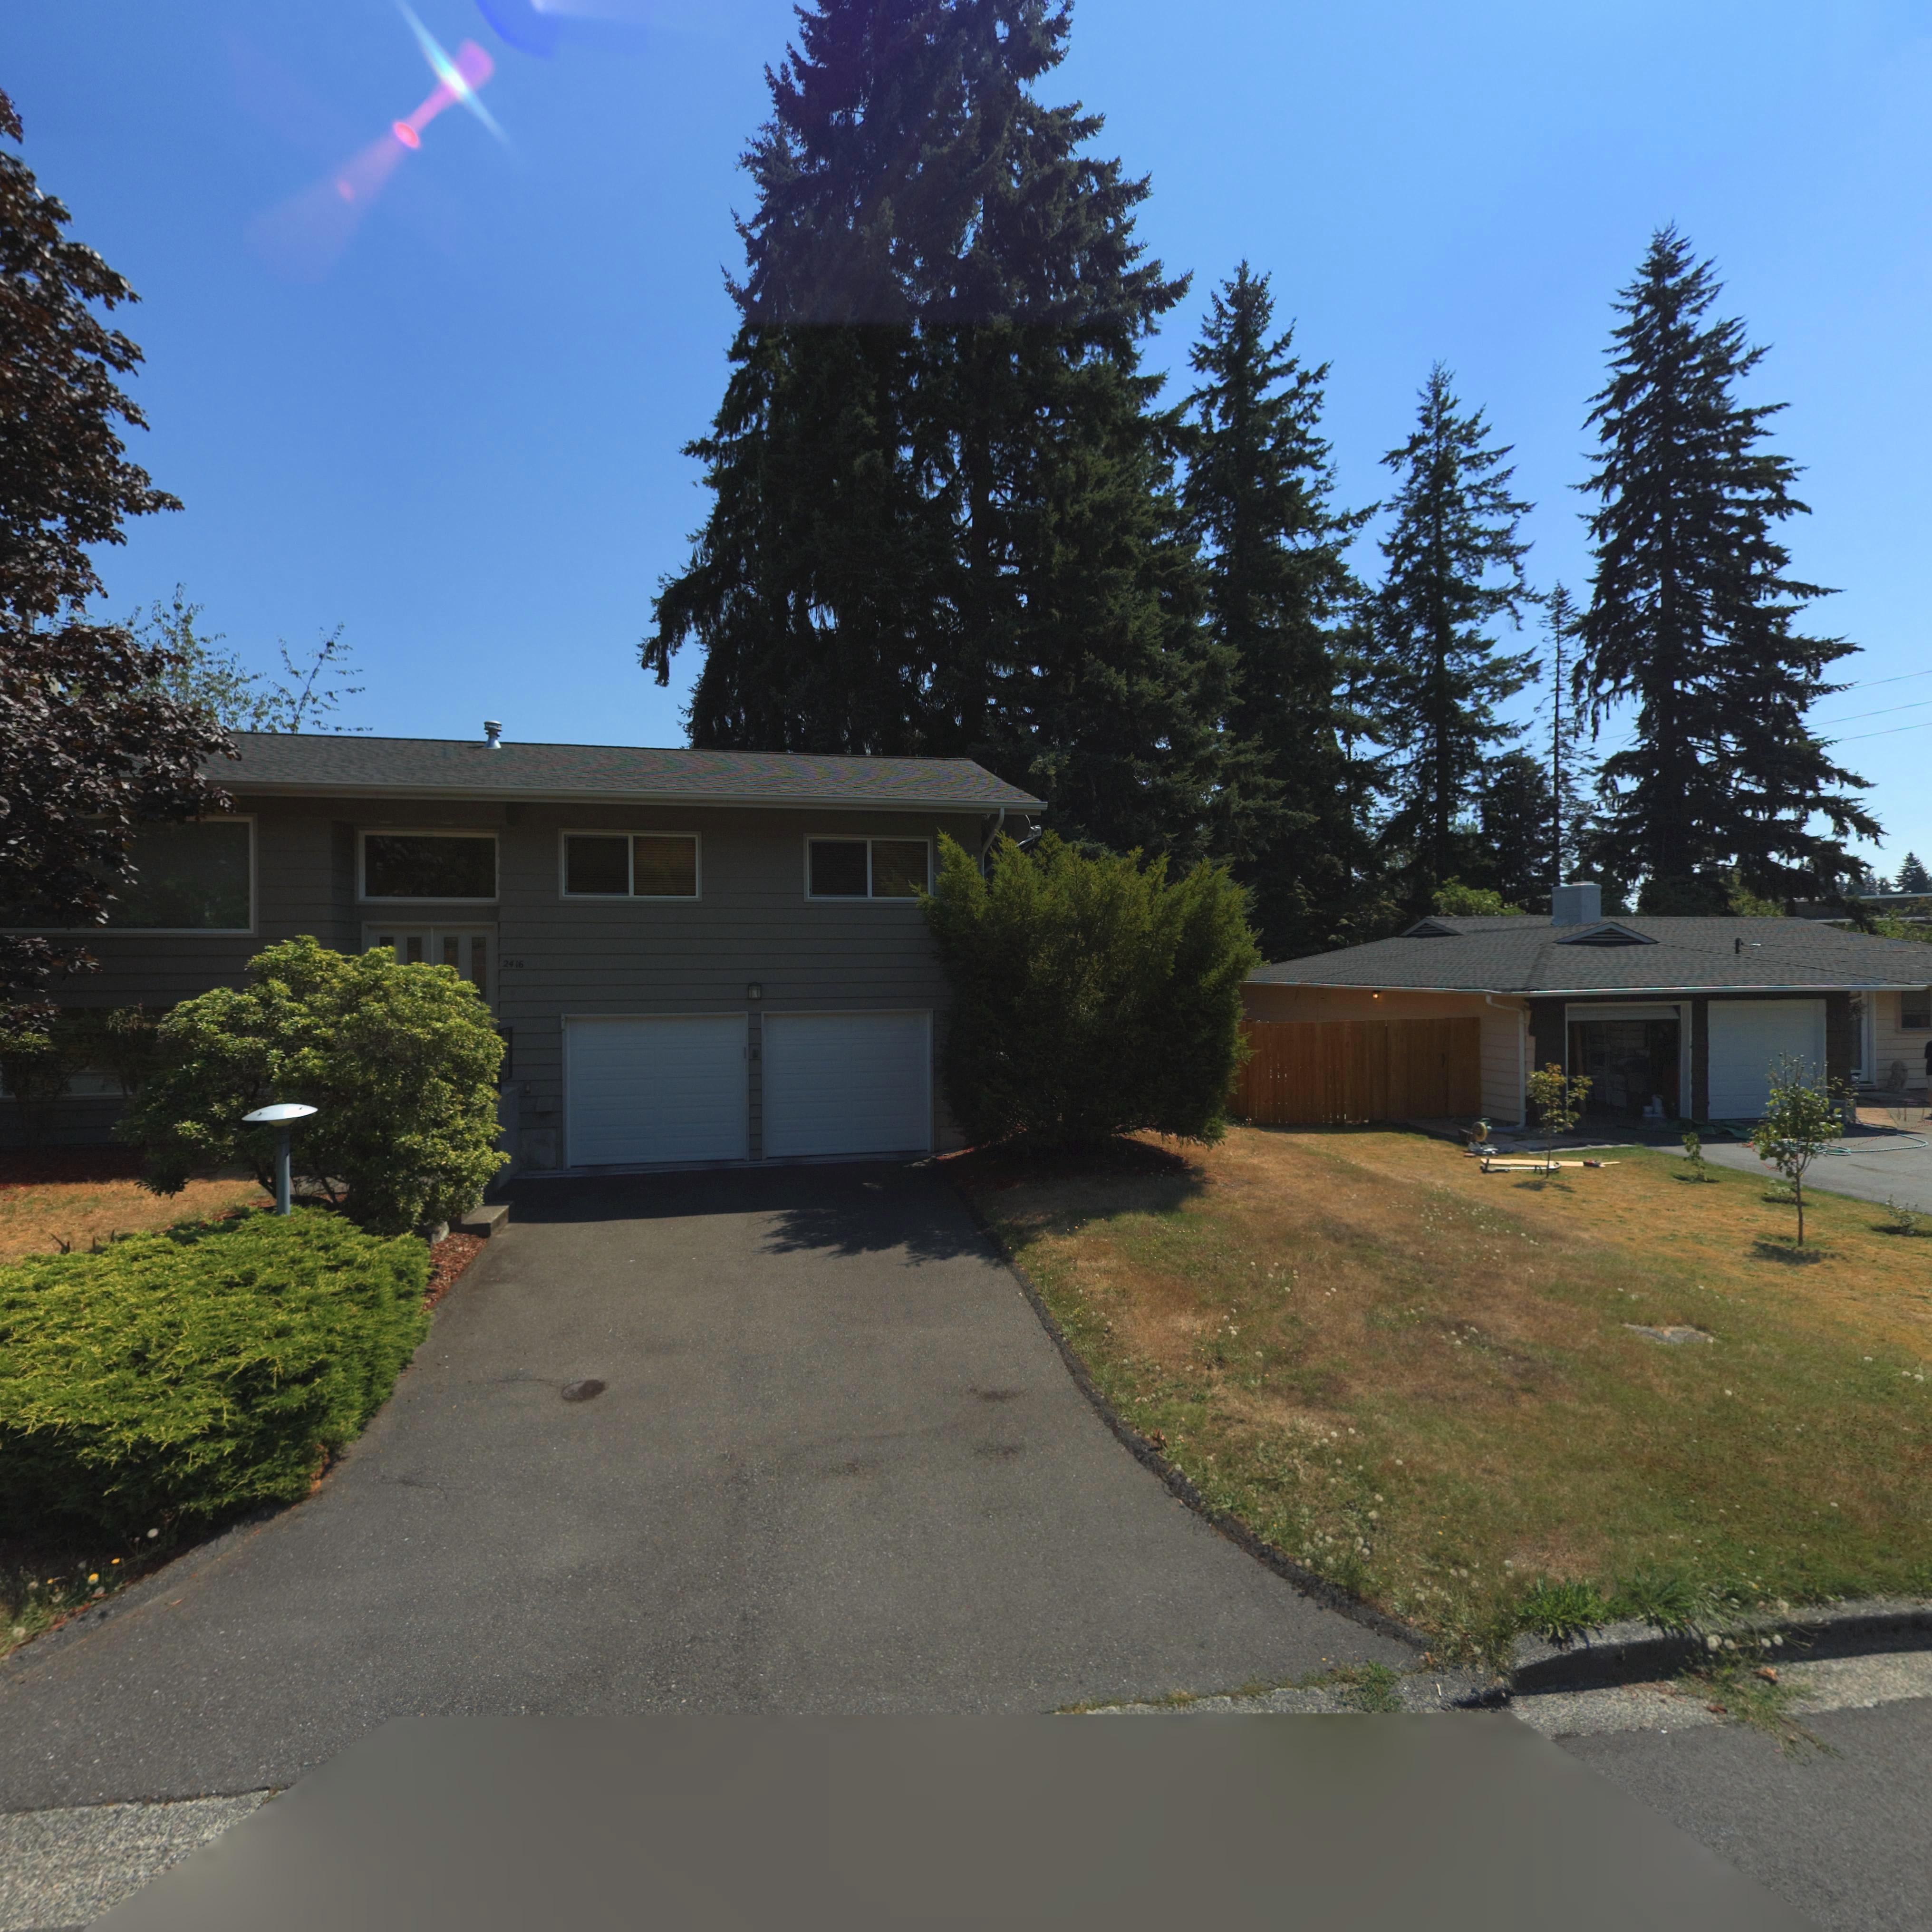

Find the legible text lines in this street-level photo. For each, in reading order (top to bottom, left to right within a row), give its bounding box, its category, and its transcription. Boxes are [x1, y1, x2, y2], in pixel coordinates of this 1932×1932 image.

[502, 959, 523, 968] StreetNumber: 2416